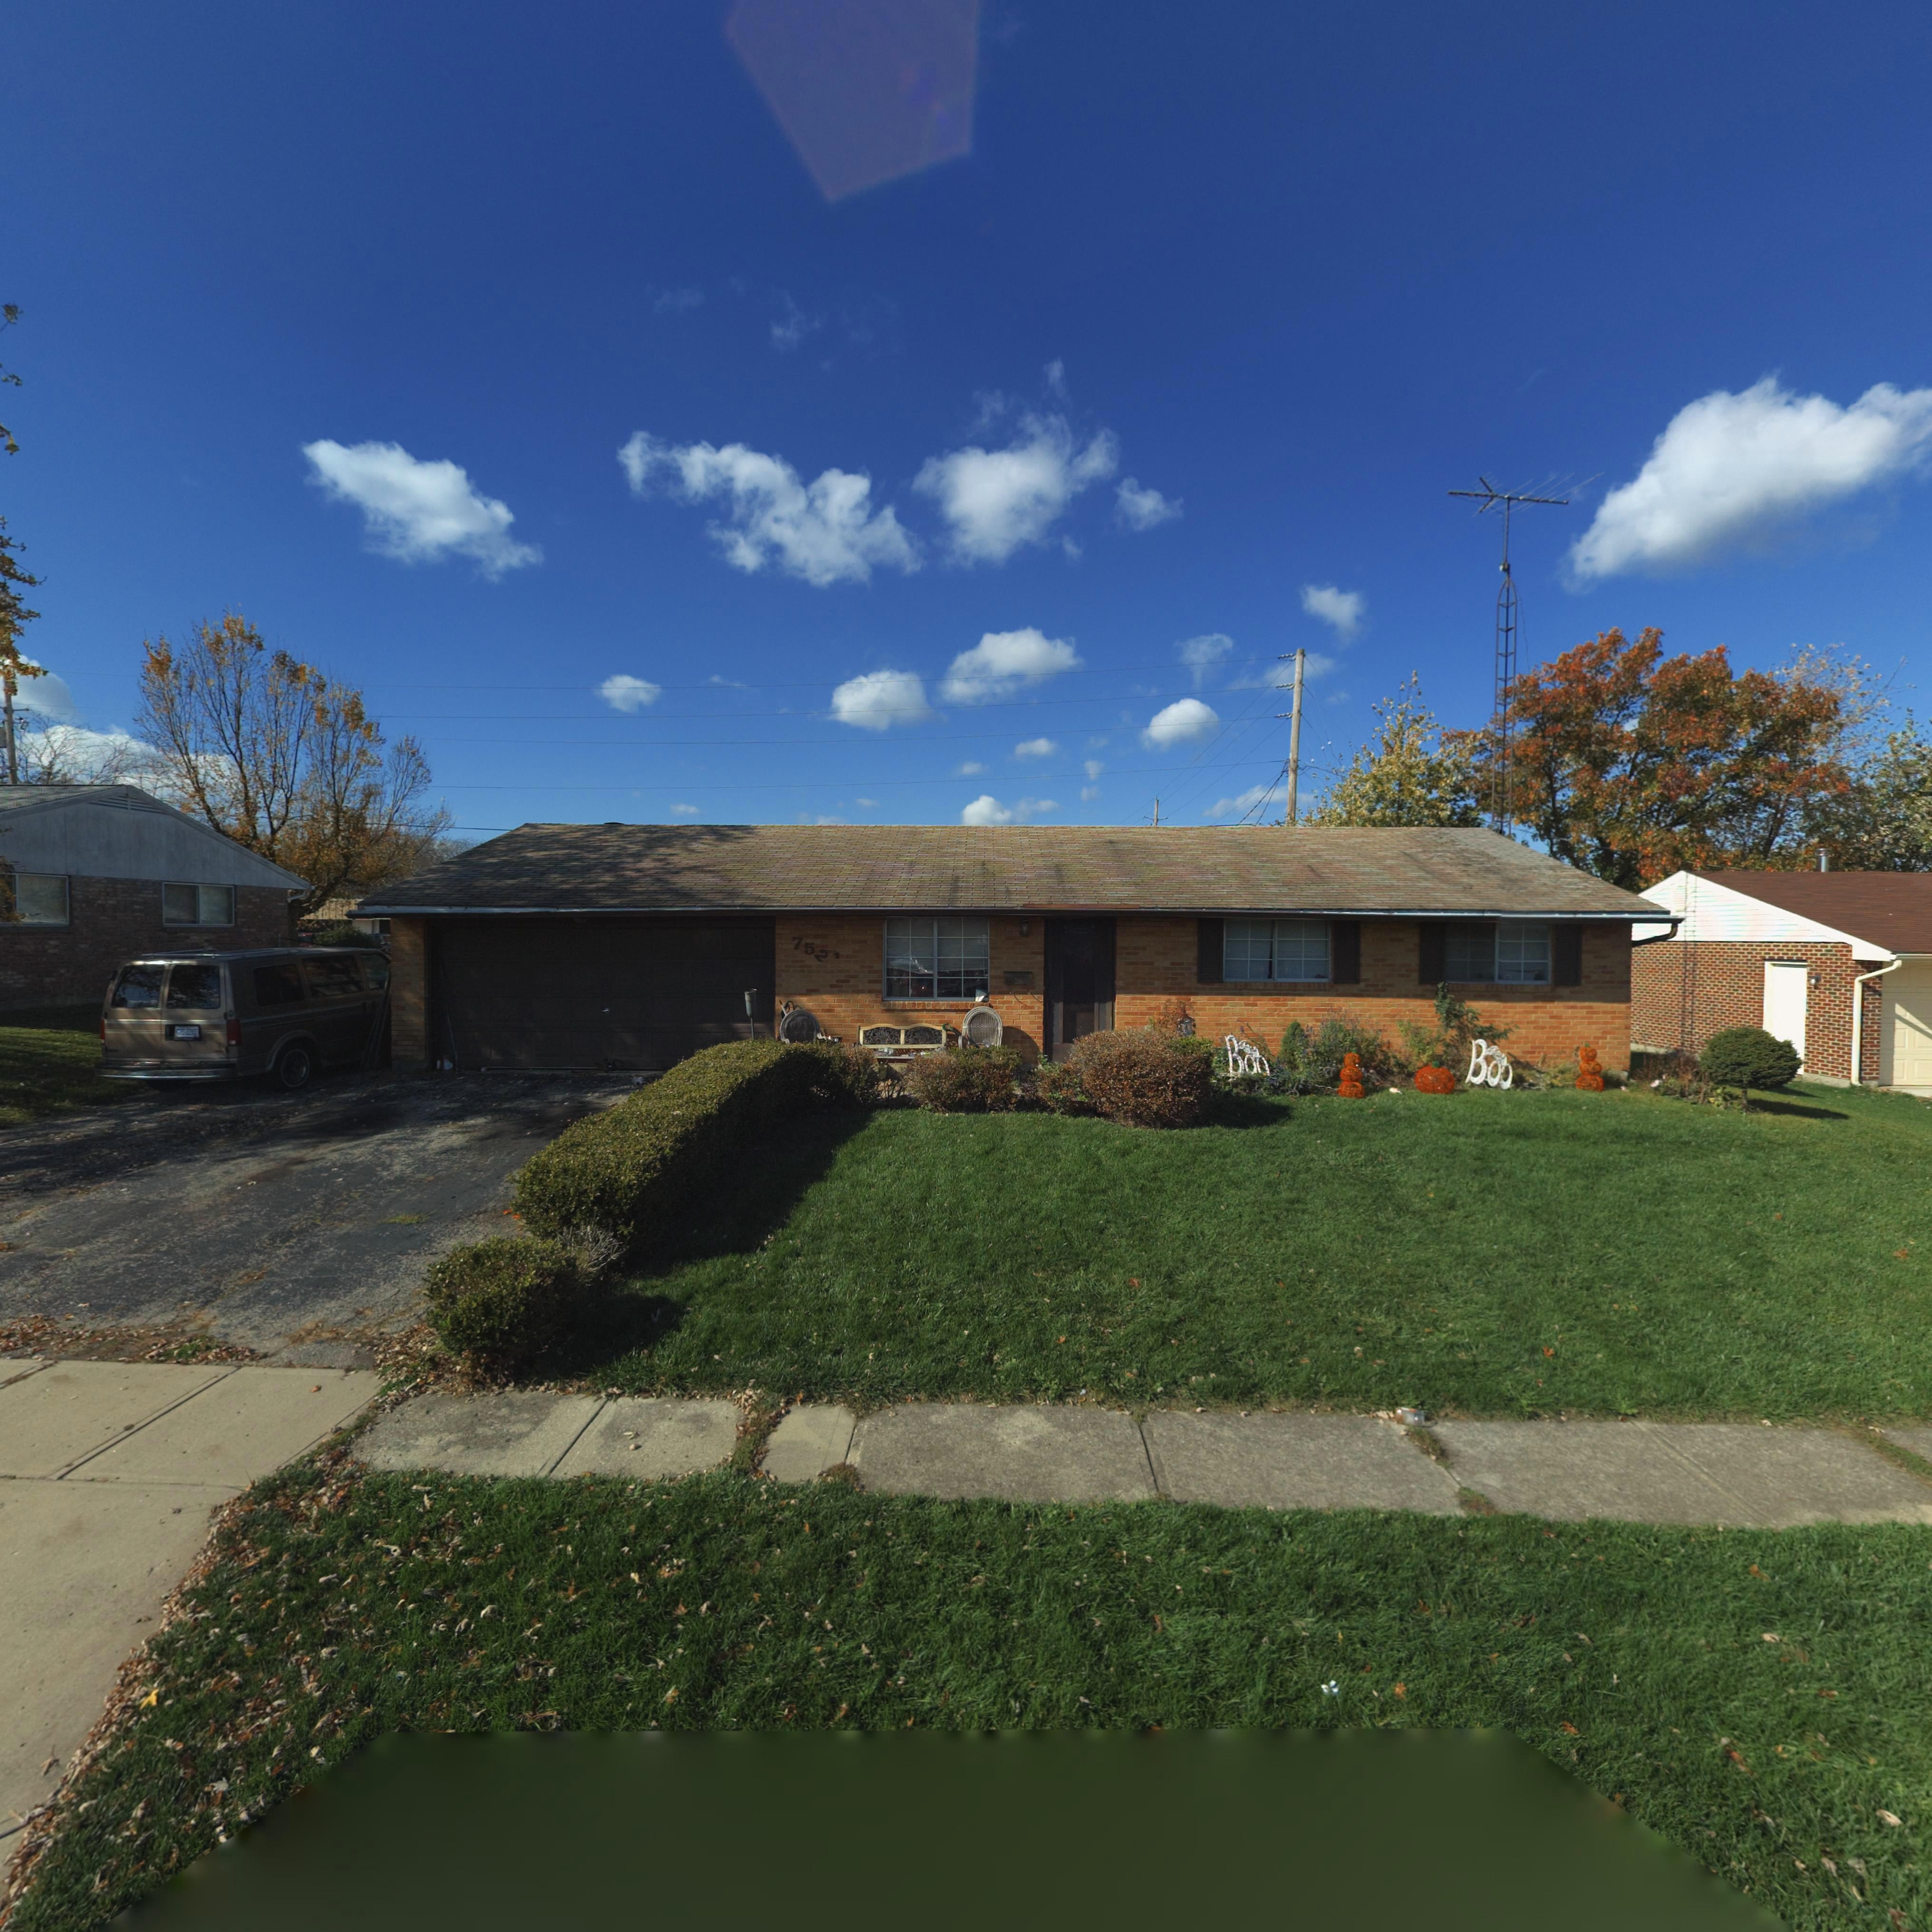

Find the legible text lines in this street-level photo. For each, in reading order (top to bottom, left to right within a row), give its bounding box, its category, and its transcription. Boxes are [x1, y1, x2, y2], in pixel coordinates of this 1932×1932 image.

[791, 936, 841, 965] StreetNumber: 752*